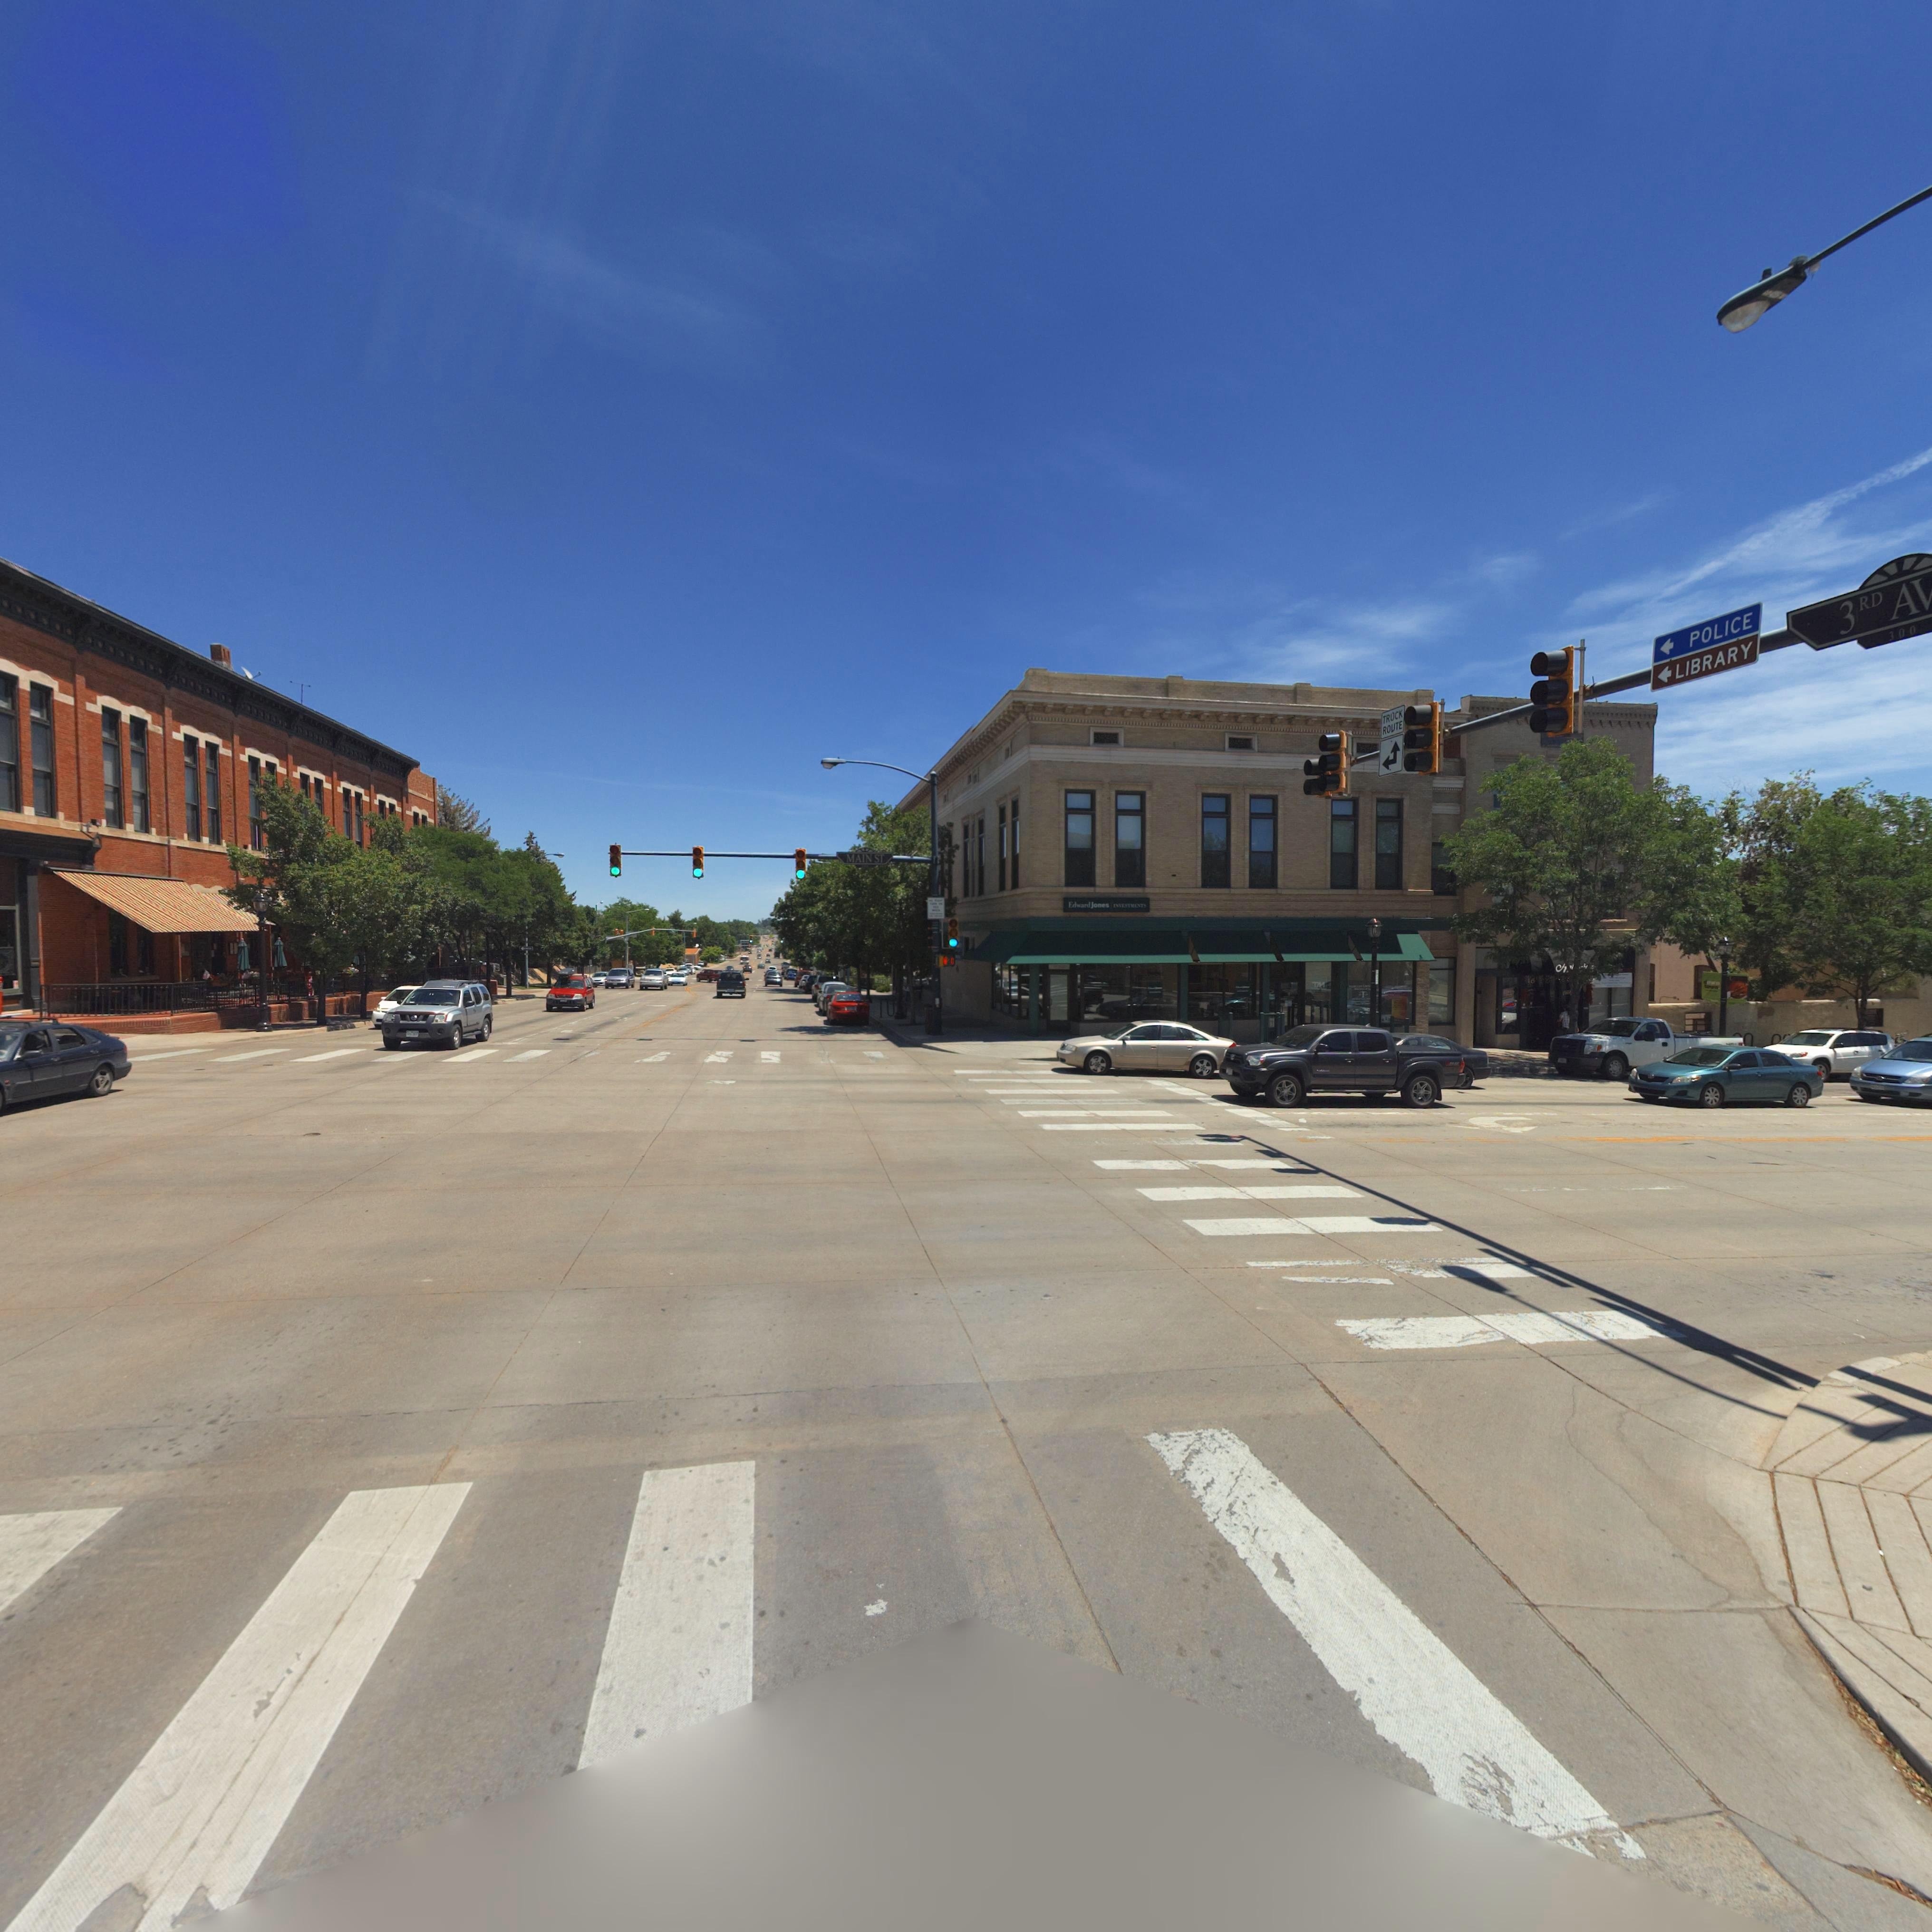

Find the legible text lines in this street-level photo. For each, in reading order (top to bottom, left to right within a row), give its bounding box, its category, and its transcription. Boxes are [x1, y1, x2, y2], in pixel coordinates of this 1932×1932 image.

[1839, 576, 1928, 635] StreetName: 3rd A*
[1888, 625, 1916, 641] StreetNumberRange: 300
[846, 854, 884, 862] StreetName: MAIN ST
[1068, 901, 1109, 908] BusinessName: Edward Jones
[1113, 903, 1147, 908] BusinessName: INVESTMENTS
[1527, 977, 1536, 984] StreetNumber: 16